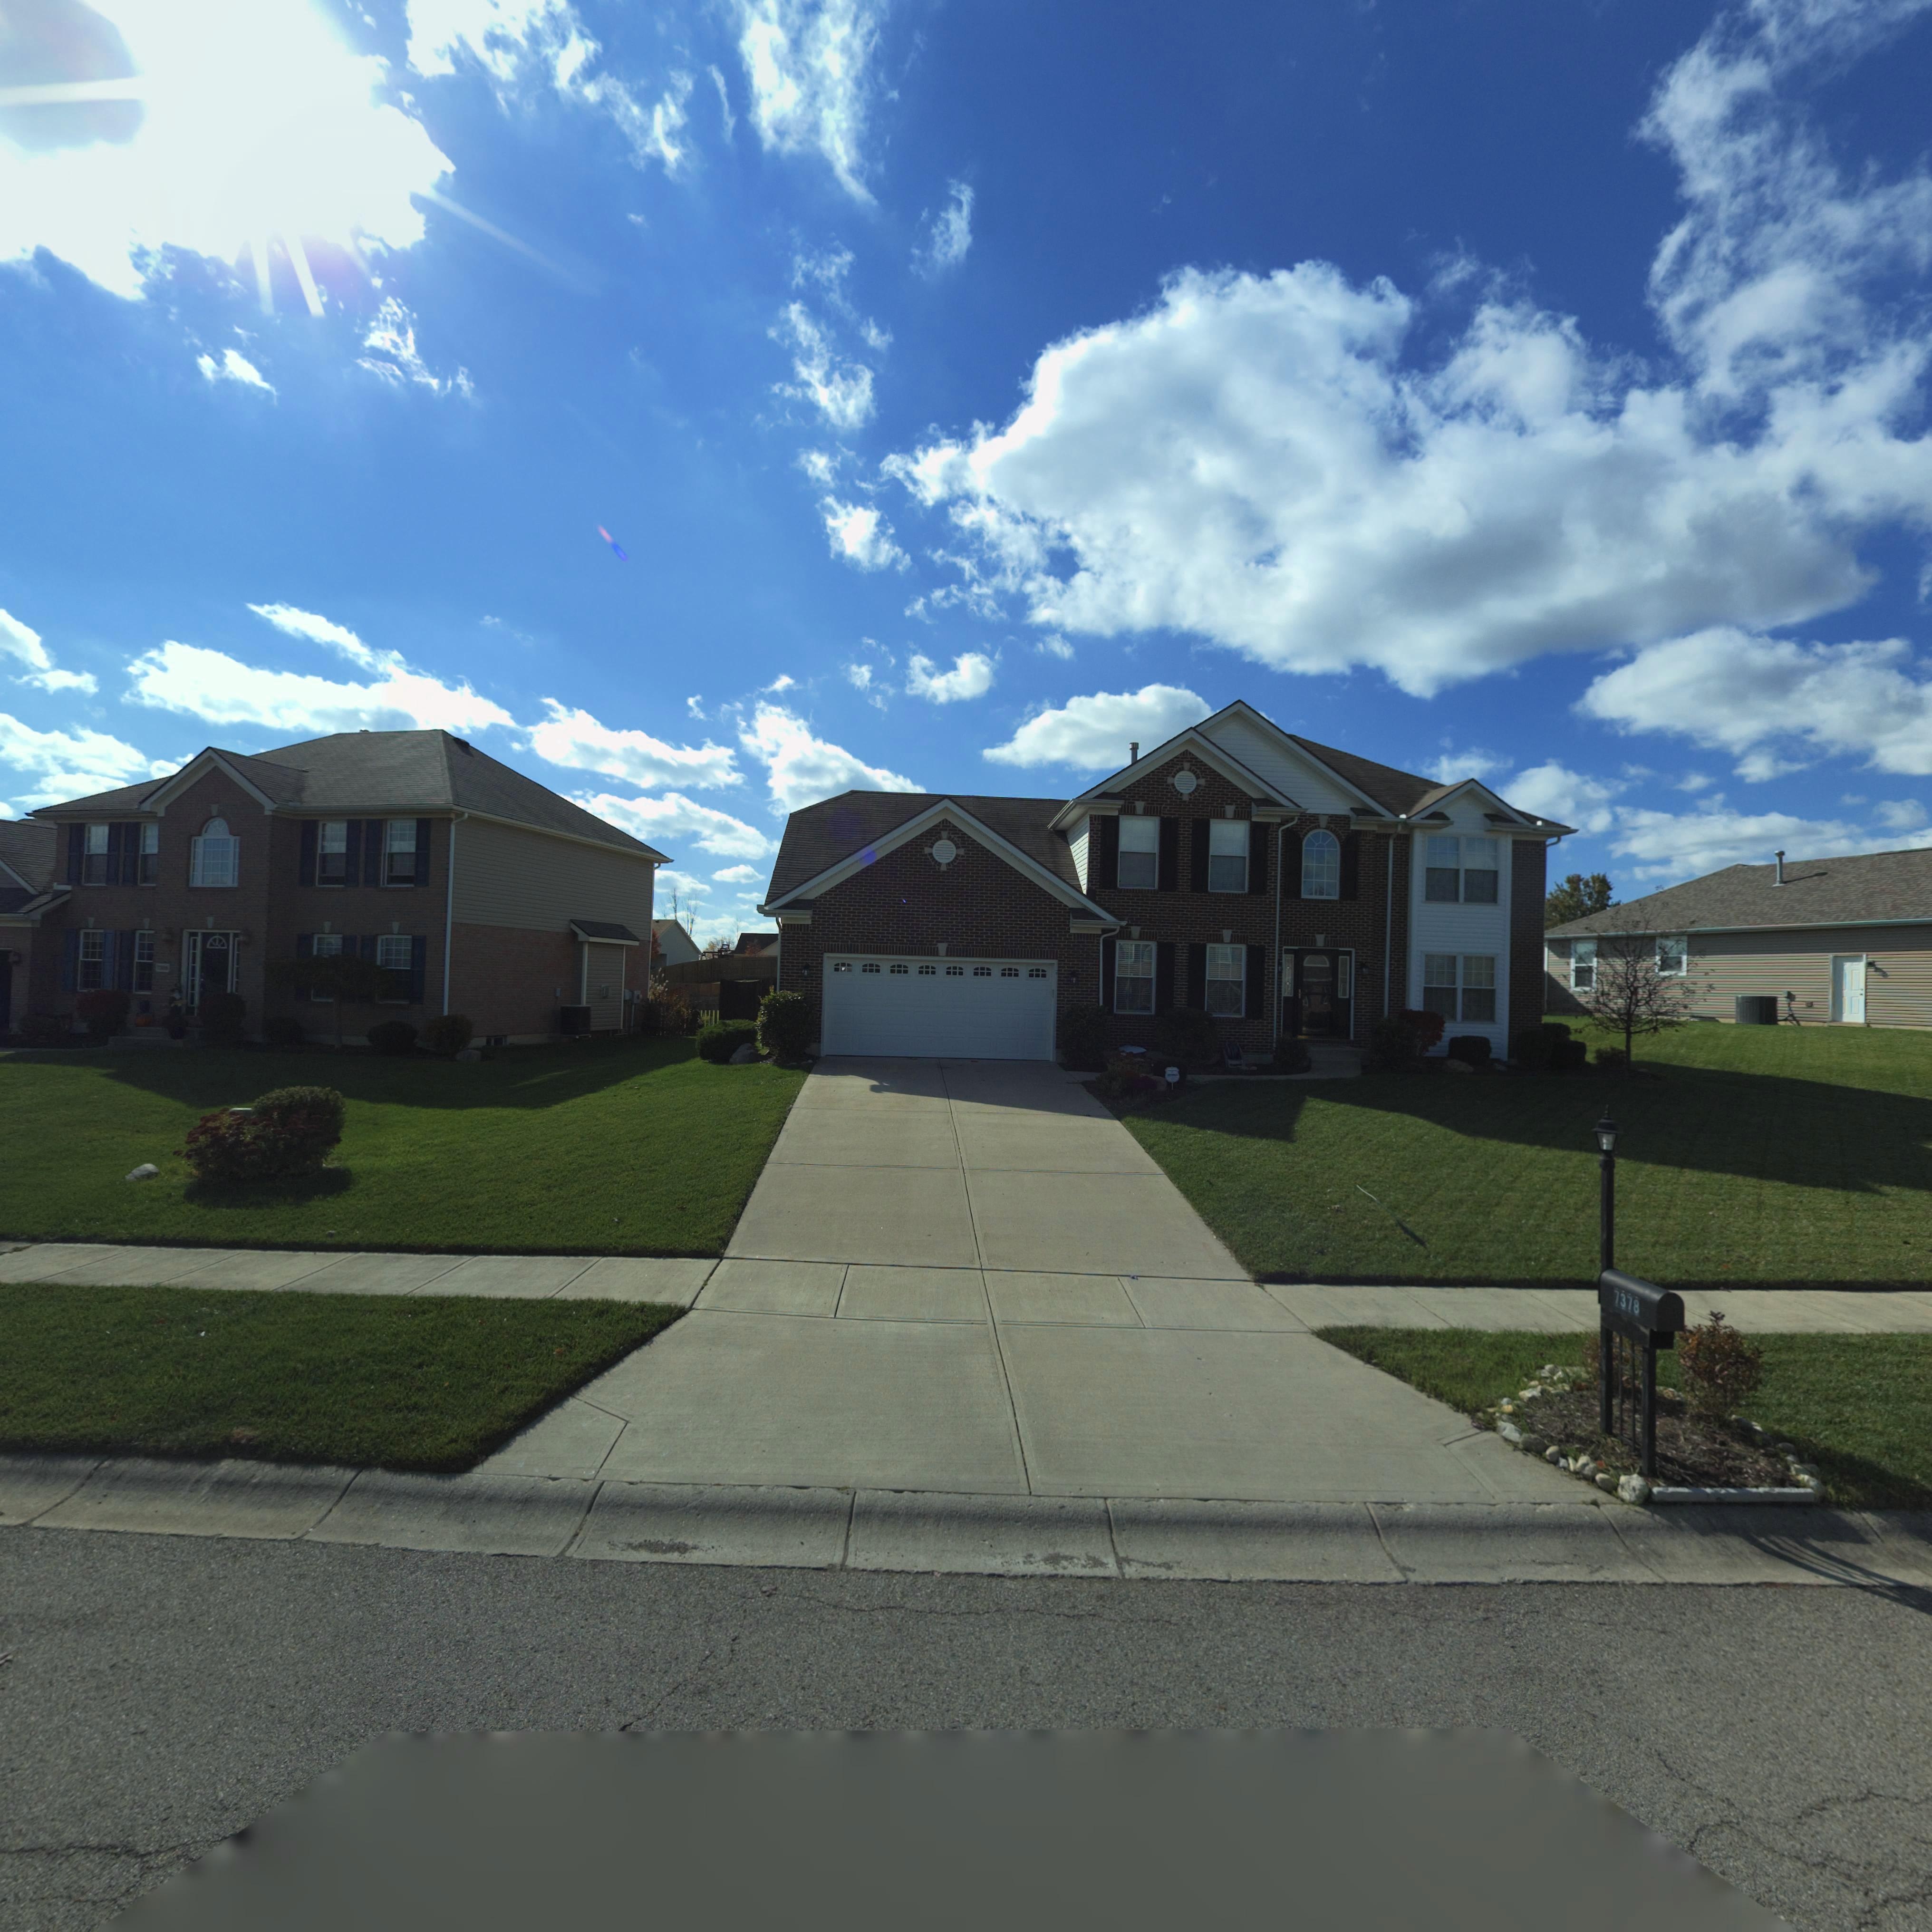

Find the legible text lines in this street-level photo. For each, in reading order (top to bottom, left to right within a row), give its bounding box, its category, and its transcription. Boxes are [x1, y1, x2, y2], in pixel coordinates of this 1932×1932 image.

[1614, 1288, 1640, 1315] StreetNumber: 7378